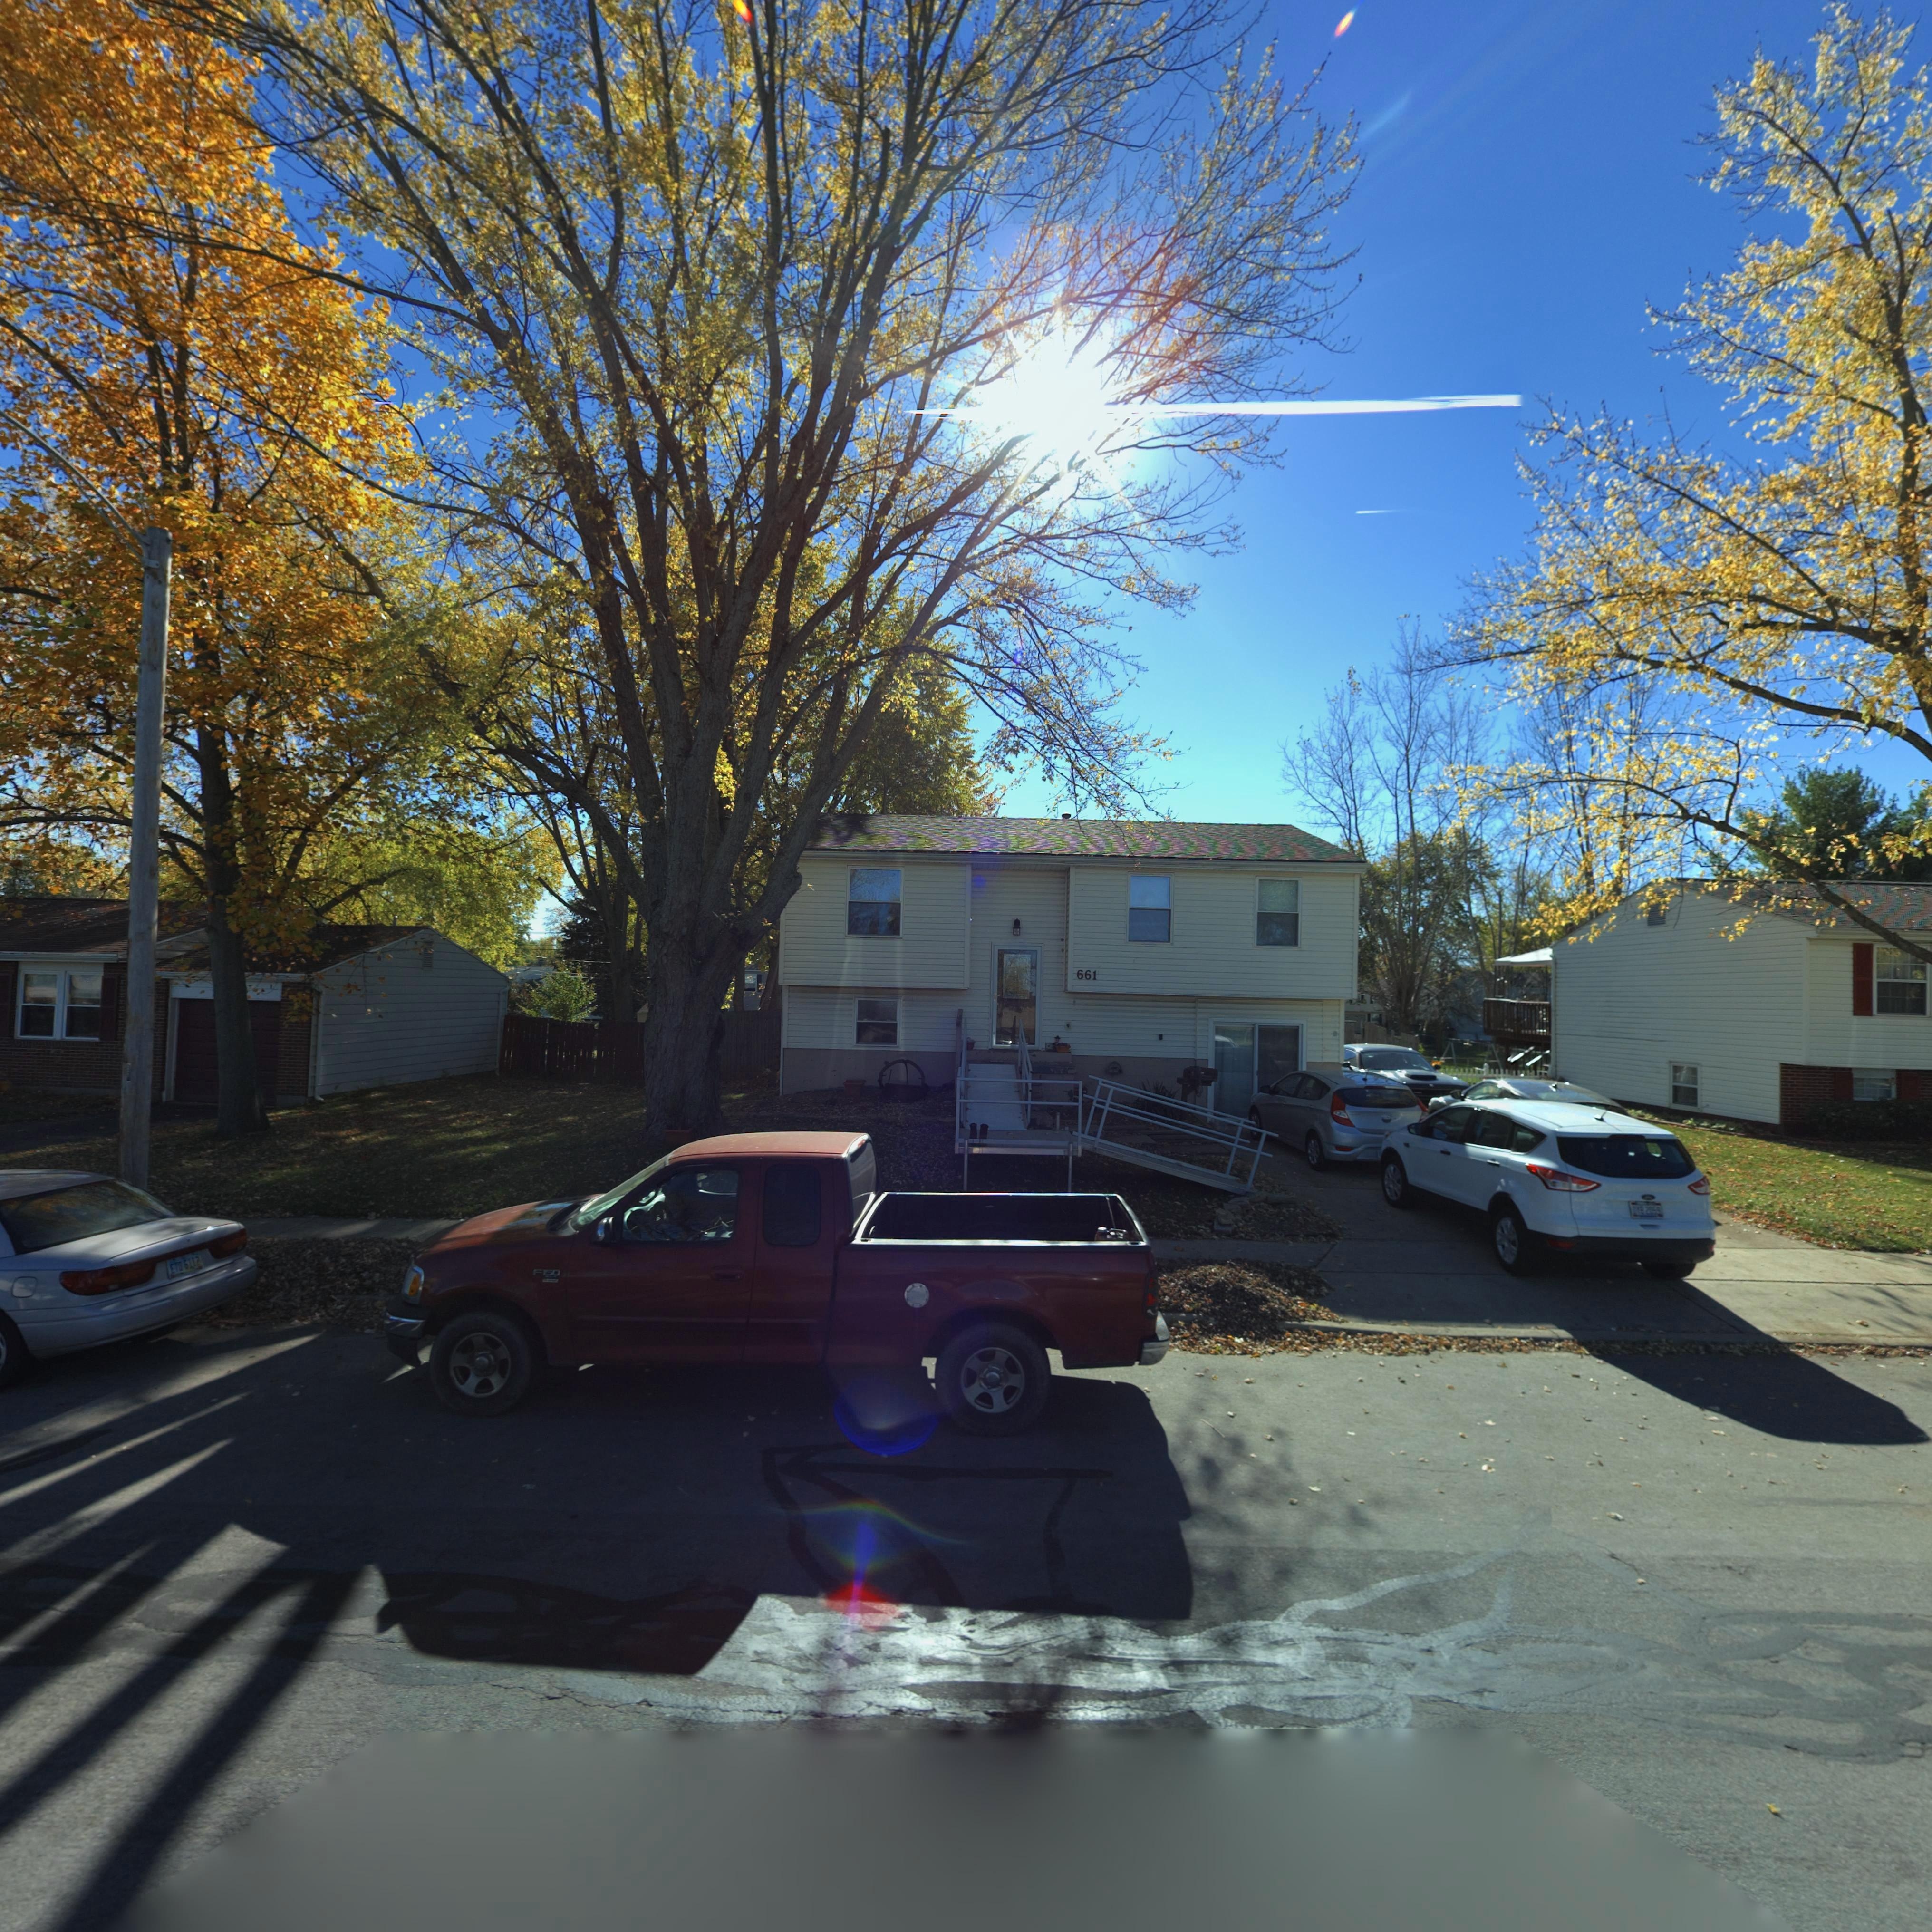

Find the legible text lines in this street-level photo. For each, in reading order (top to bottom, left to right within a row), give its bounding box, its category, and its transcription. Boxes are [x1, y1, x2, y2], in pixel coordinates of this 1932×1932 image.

[1076, 969, 1097, 980] StreetNumber: 661
[531, 1267, 561, 1278] None: F150